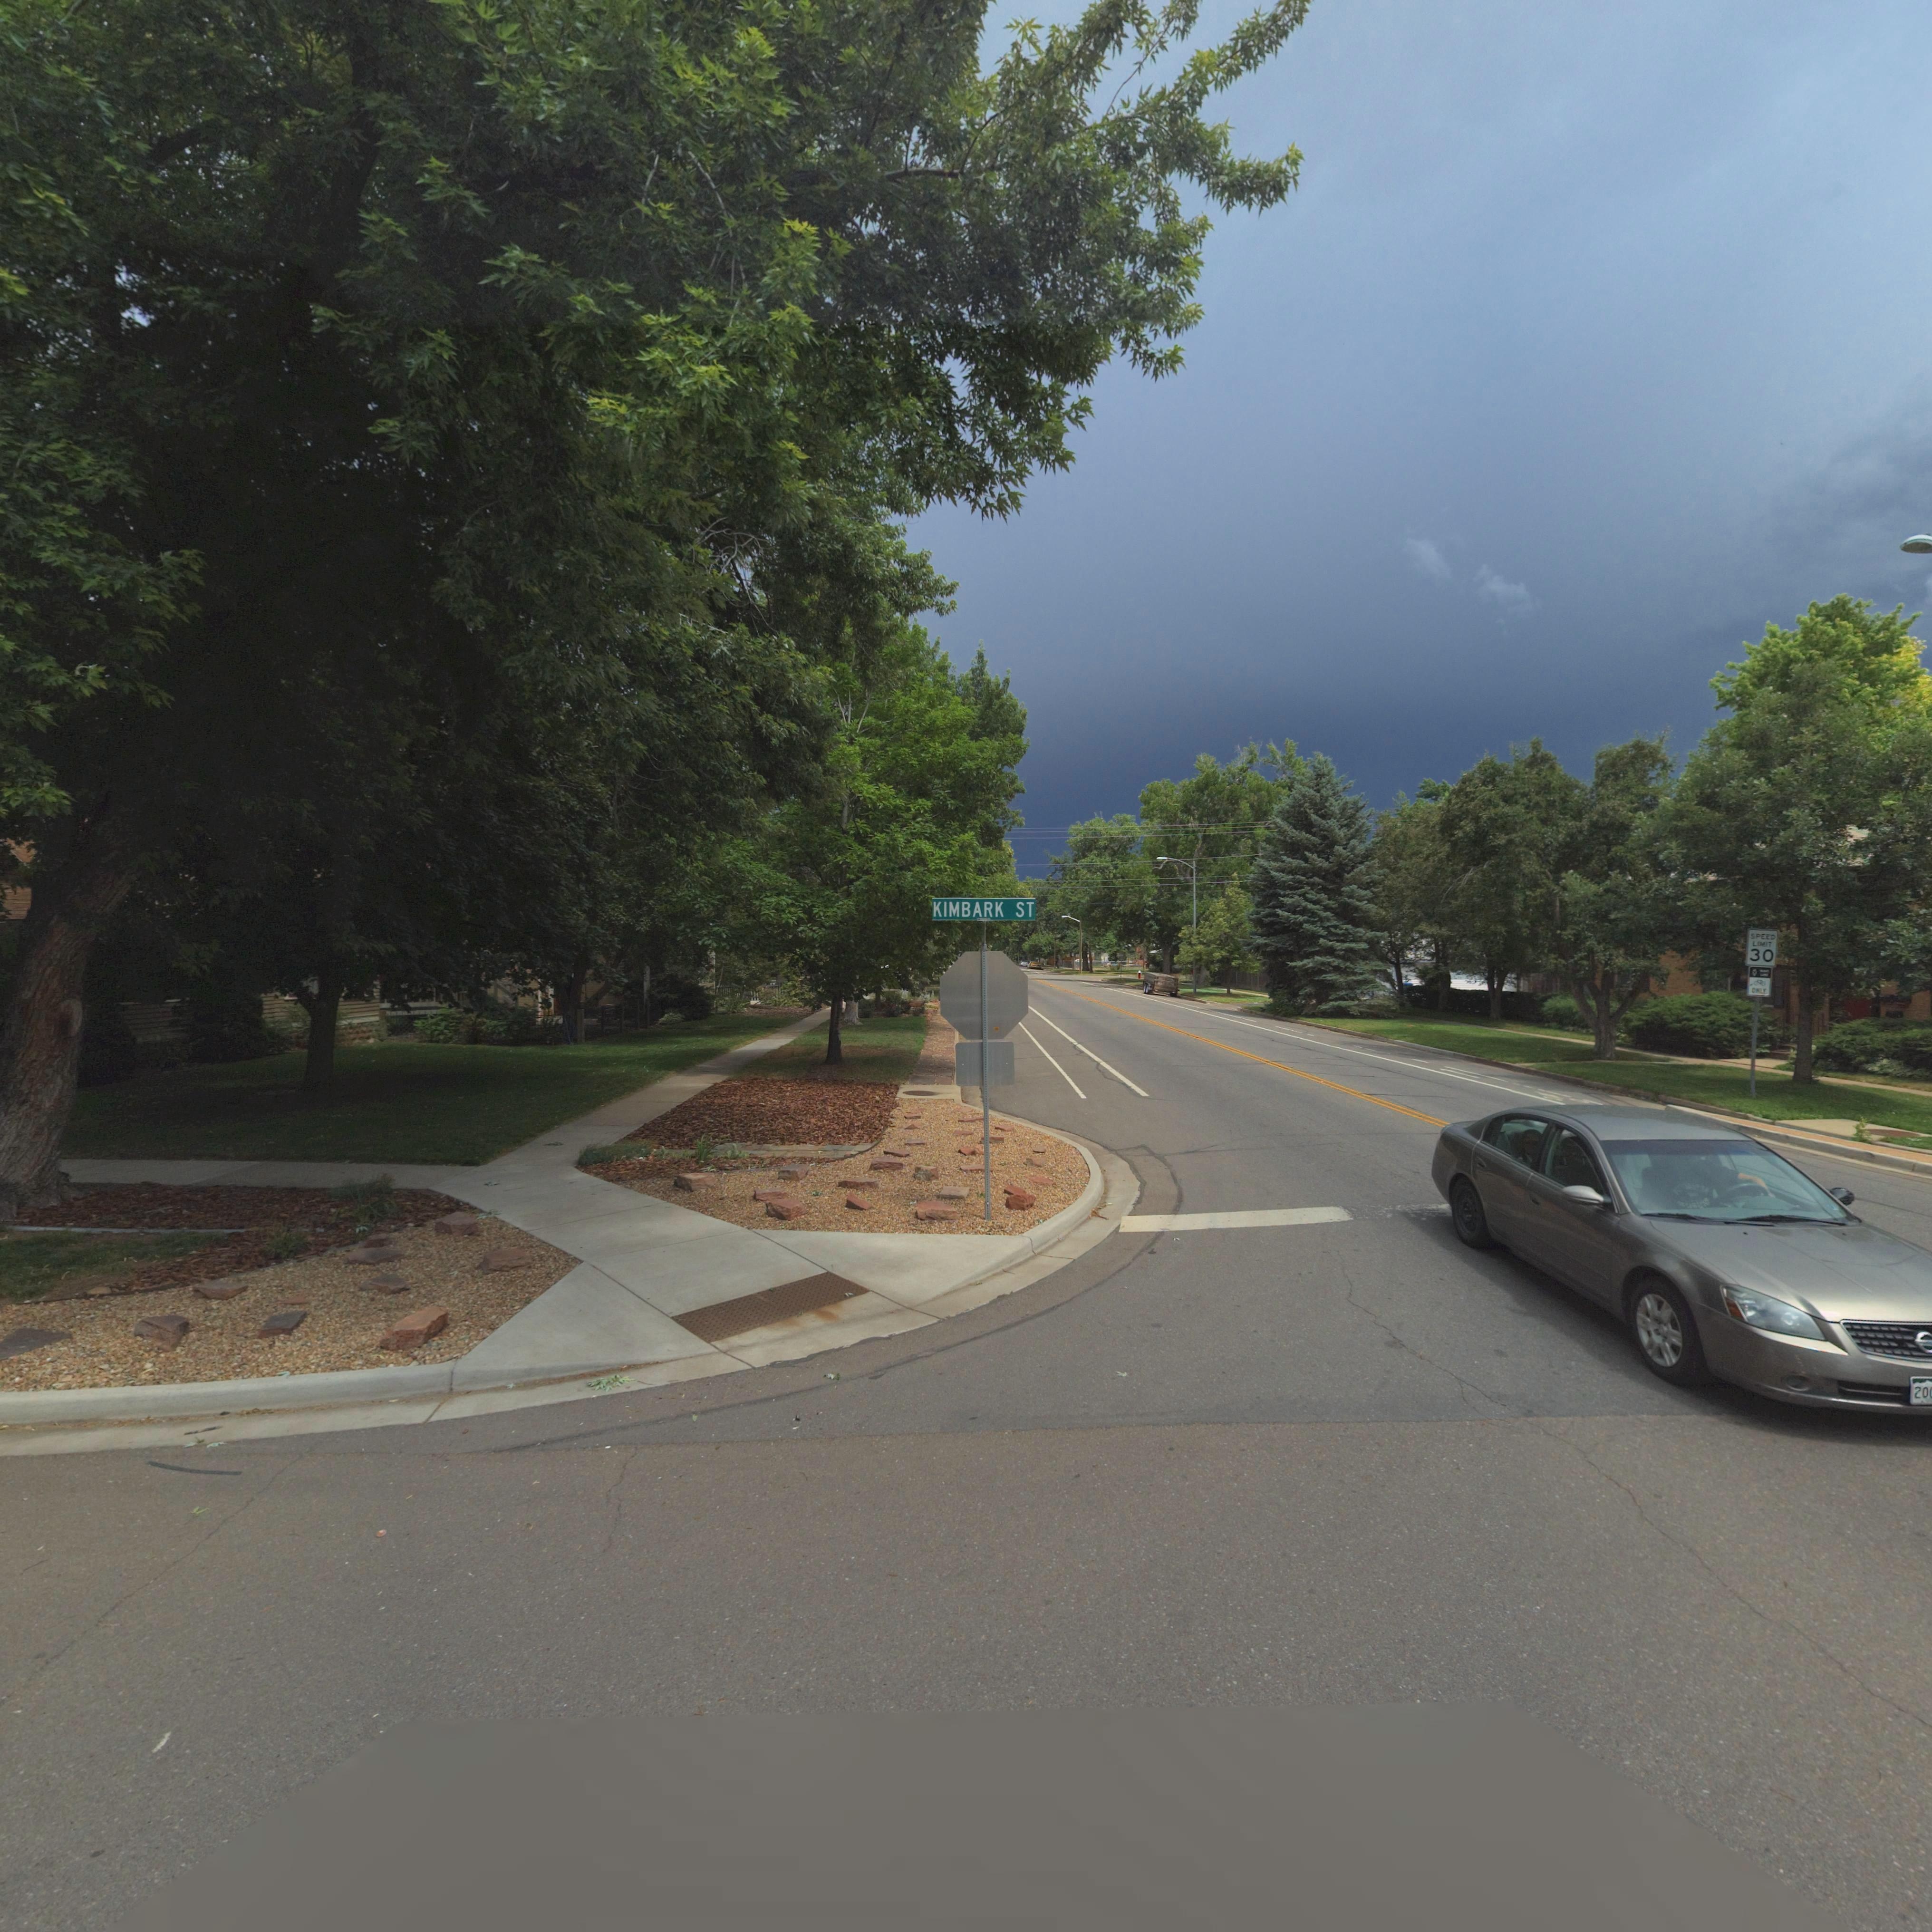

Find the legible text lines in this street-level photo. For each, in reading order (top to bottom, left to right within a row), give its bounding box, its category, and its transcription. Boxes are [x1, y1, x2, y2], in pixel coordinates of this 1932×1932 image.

[933, 900, 1035, 918] StreetName: KIMBARK ST